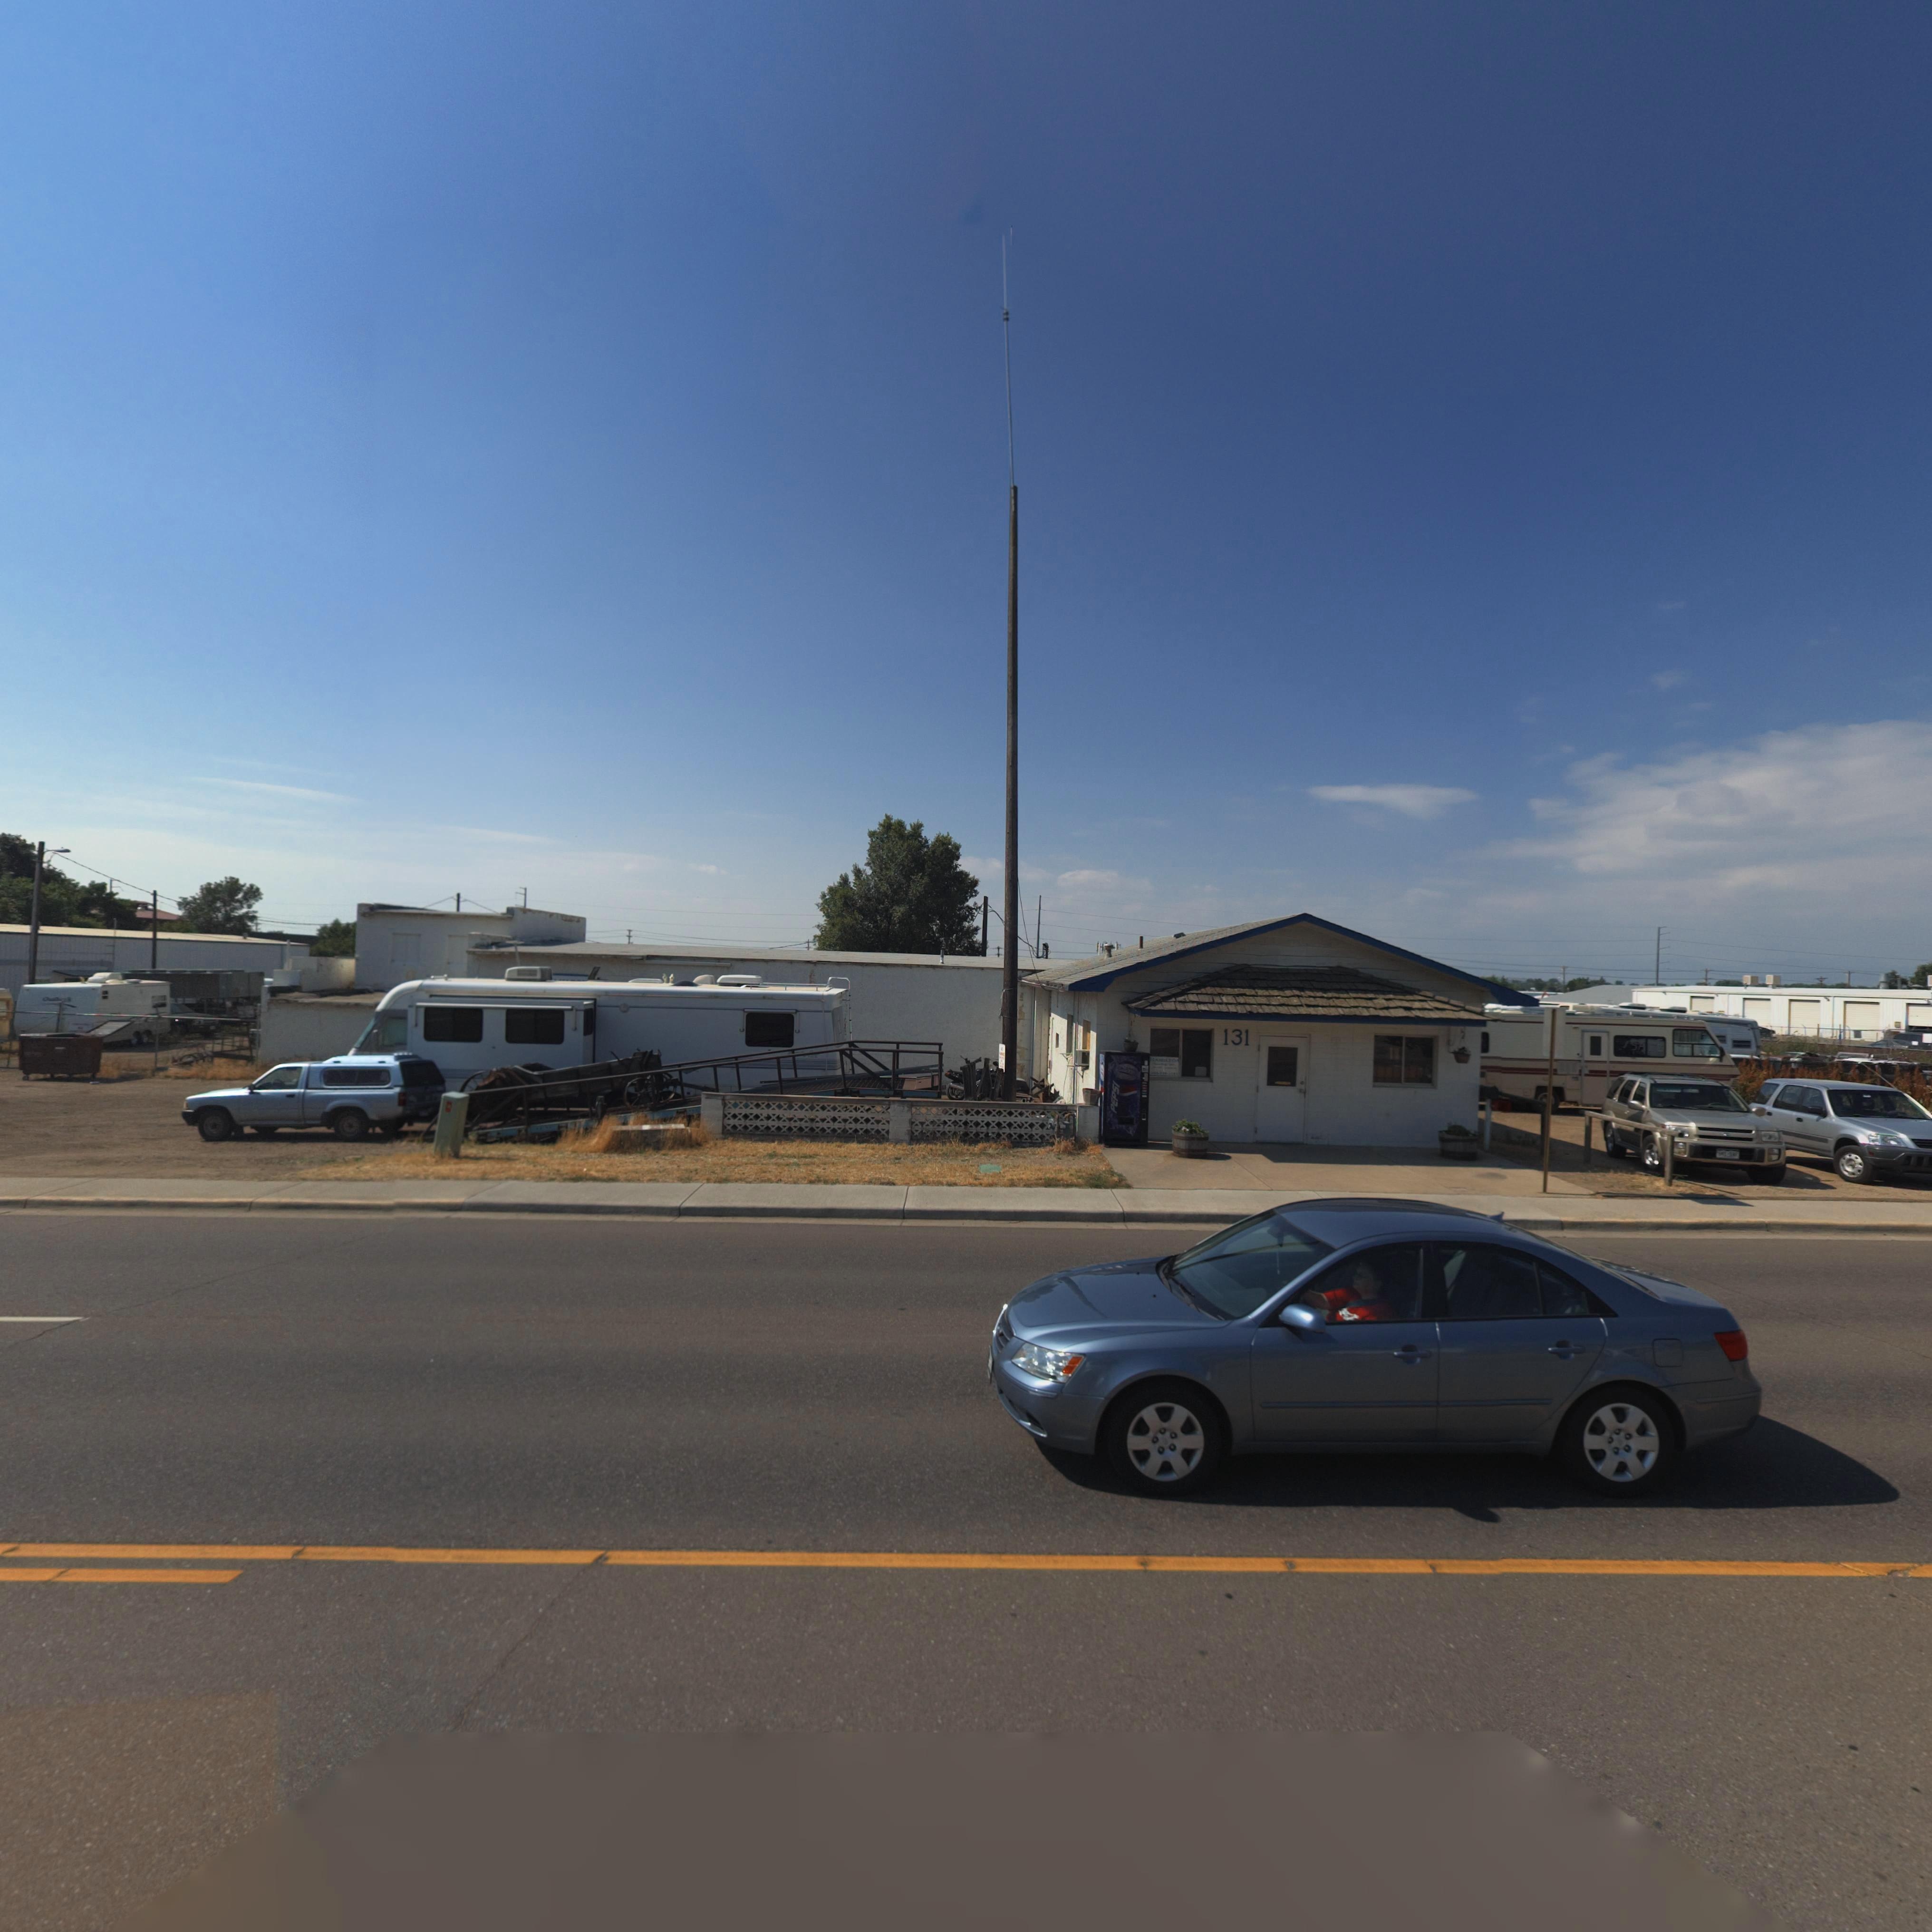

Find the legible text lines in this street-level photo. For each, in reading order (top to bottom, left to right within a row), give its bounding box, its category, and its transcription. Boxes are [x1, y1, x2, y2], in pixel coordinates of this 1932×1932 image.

[1223, 1028, 1249, 1046] StreetNumber: 131